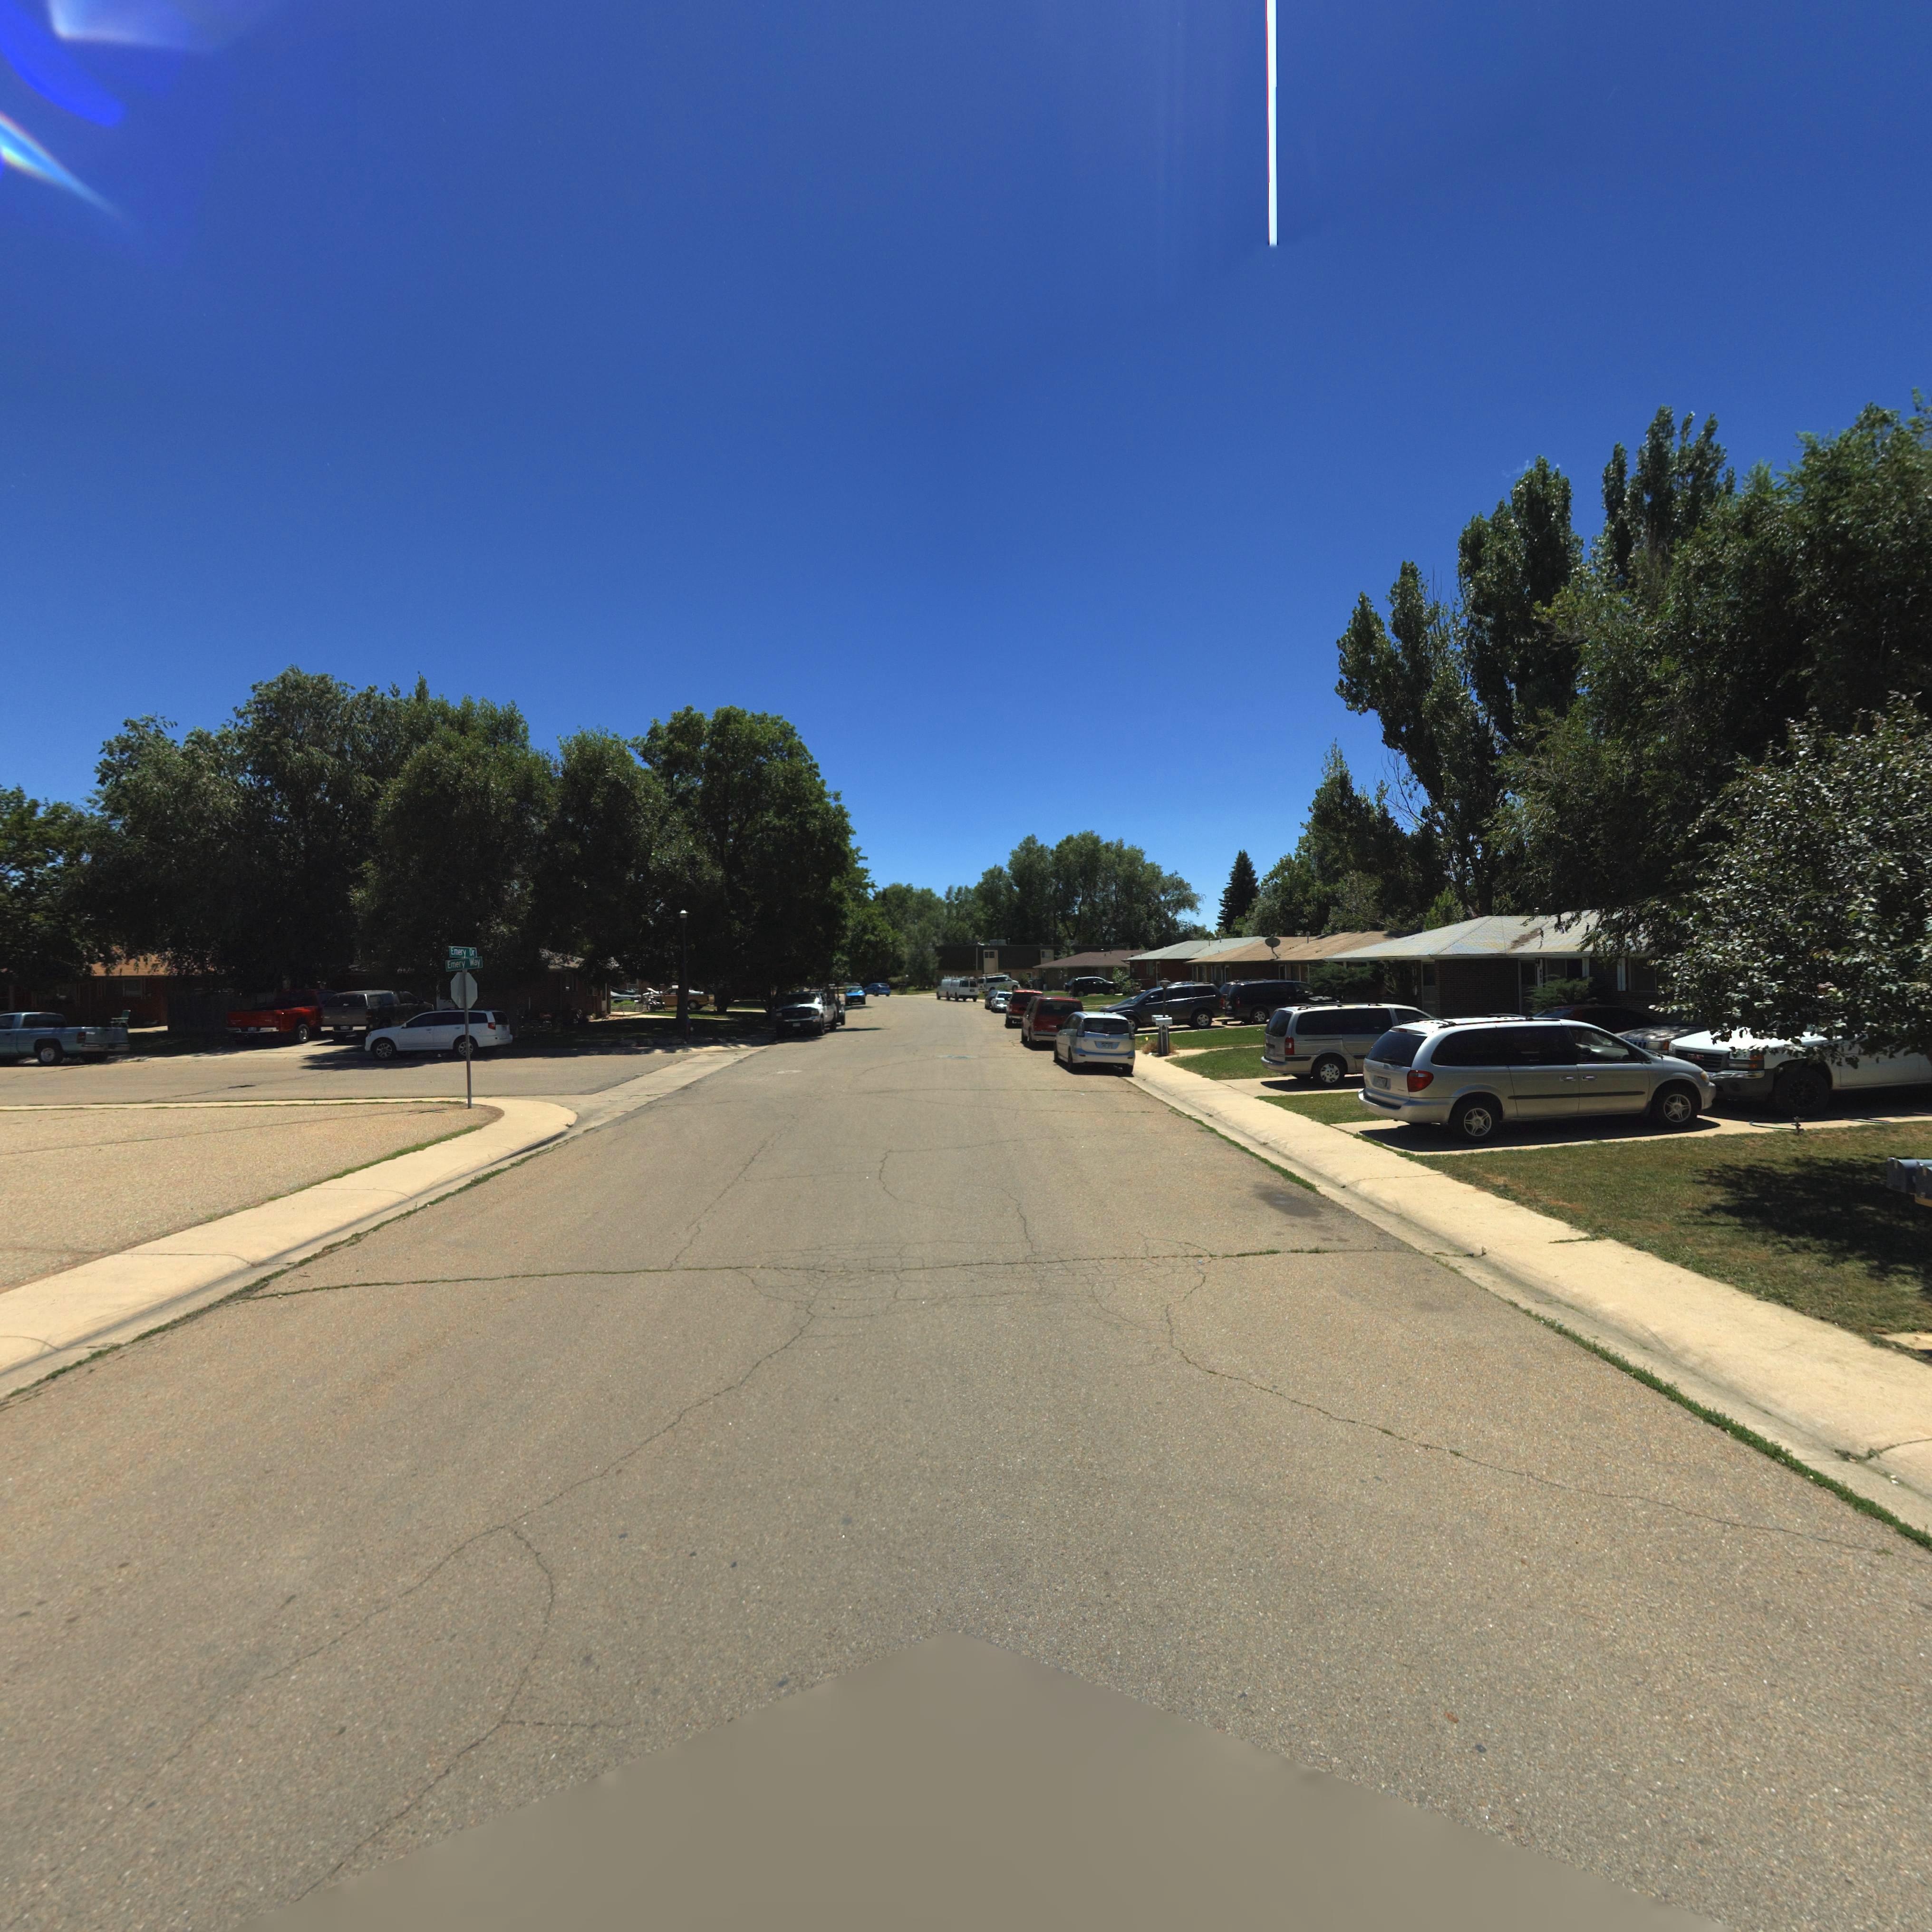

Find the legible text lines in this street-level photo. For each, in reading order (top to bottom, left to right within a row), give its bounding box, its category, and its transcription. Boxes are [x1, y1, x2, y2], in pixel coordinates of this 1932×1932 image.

[450, 946, 474, 958] StreetName: Emery Dr
[446, 957, 481, 968] StreetName: Emery Way
[1539, 968, 1543, 984] StreetNumber: 4*5